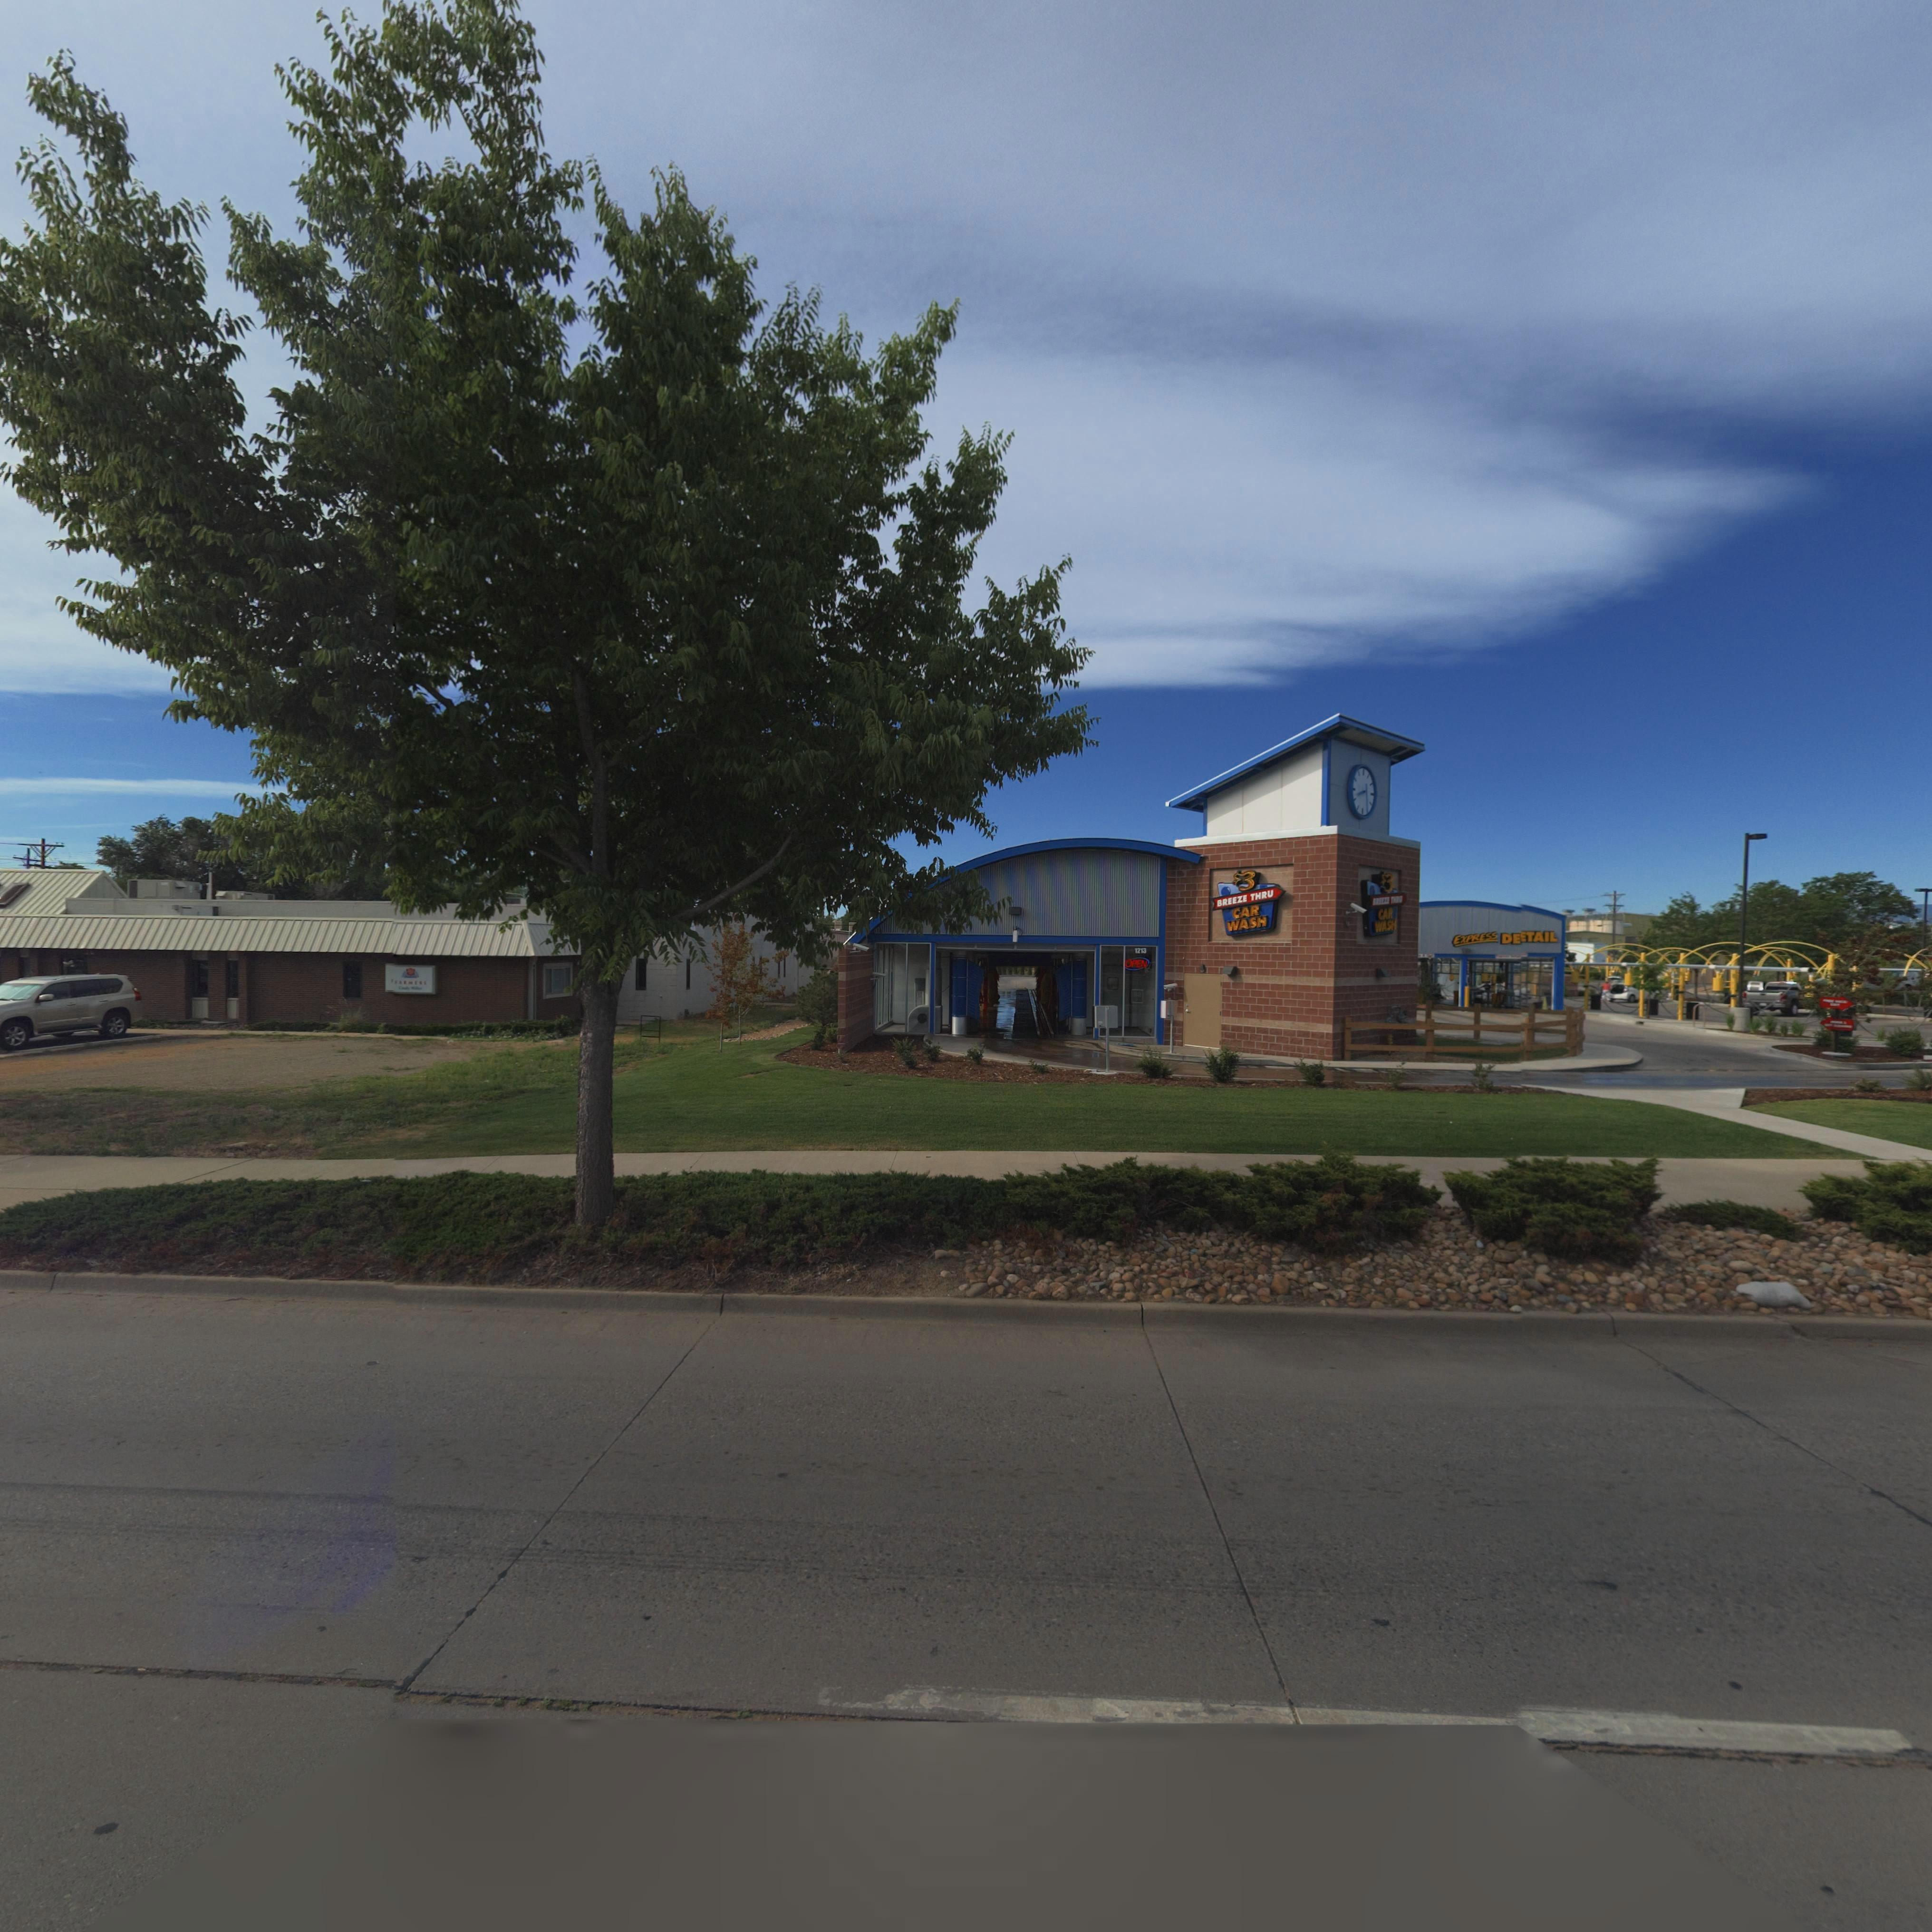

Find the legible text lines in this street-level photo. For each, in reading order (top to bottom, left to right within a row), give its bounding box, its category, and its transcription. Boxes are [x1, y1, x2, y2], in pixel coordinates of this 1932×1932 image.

[1217, 889, 1274, 907] BusinessName: BREEZE THRU
[1372, 895, 1403, 906] BusinessName: BREEZE T***
[1230, 903, 1260, 919] BusinessName: CAR
[1377, 907, 1394, 920] BusinessName: CAR
[1225, 915, 1268, 932] BusinessName: WASH
[1373, 918, 1398, 932] BusinessName: WASH
[1134, 947, 1147, 953] StreetNumber: 1213
[395, 980, 426, 985] BusinessName: **RM*RS